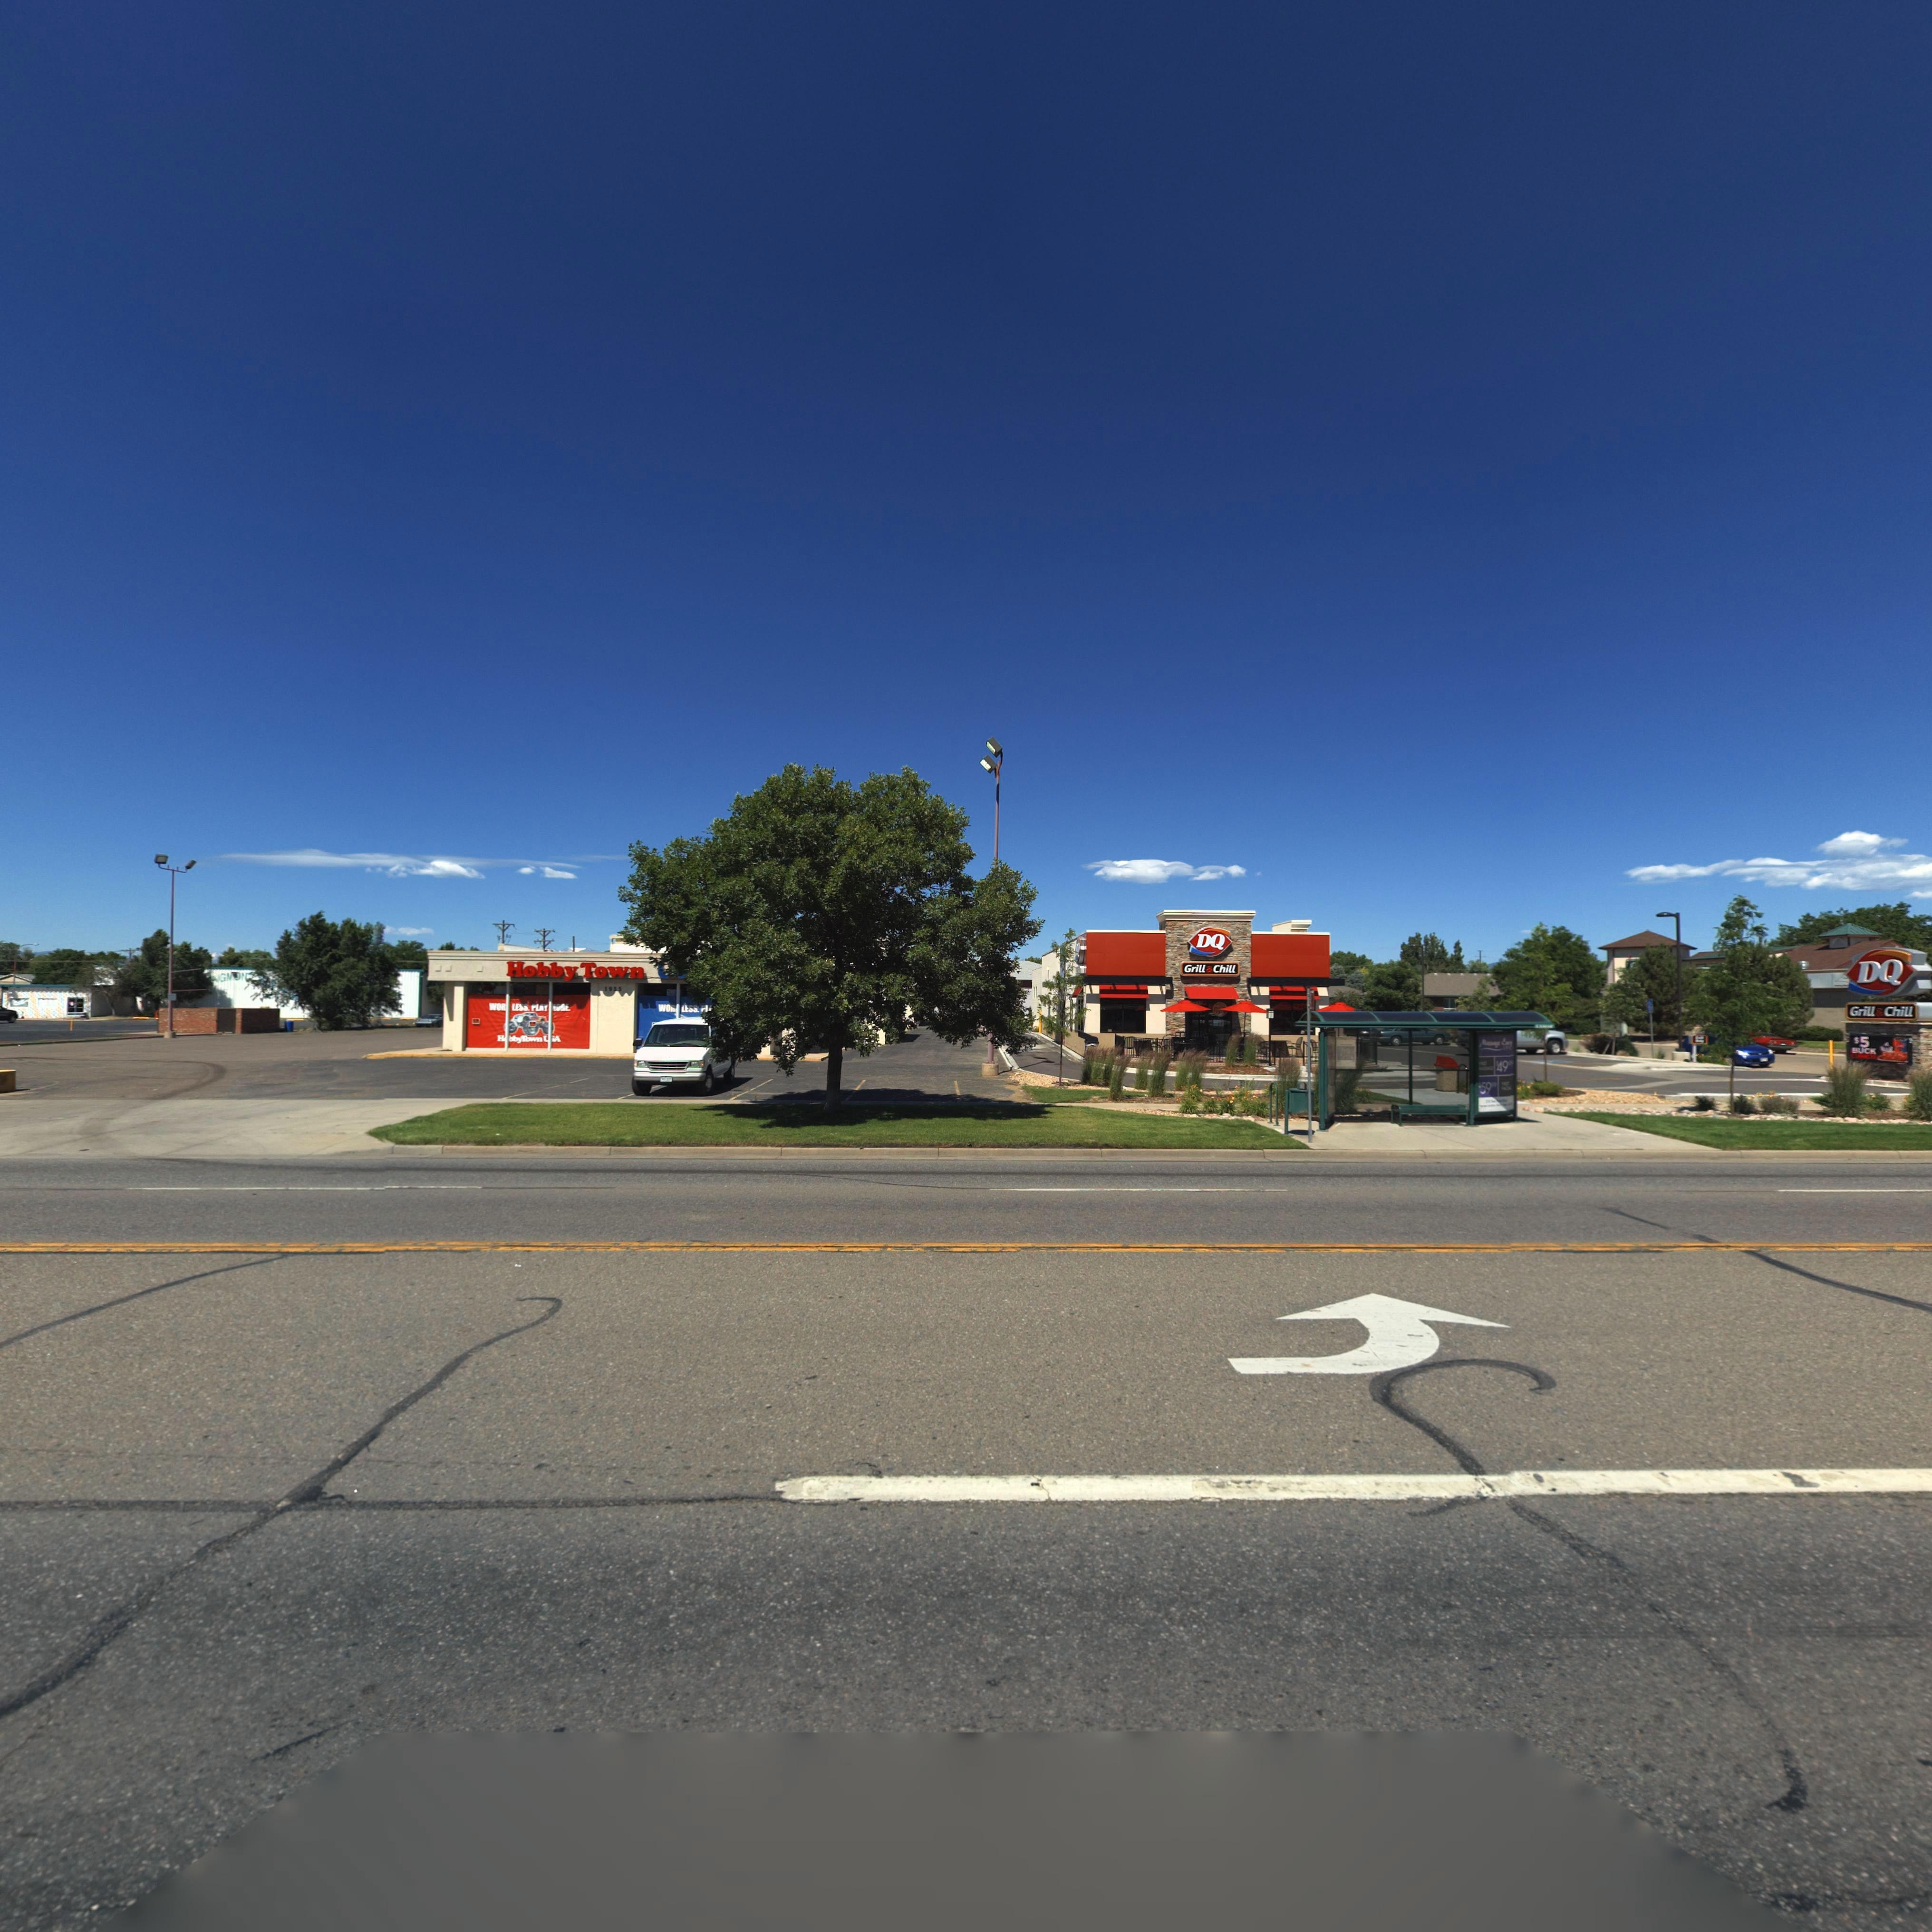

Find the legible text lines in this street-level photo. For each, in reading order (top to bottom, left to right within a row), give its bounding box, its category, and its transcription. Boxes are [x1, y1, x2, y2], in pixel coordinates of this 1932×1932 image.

[1195, 933, 1225, 950] BusinessName: DQ
[505, 961, 645, 982] BusinessName: HobbyTown
[1856, 958, 1903, 986] BusinessName: DQ
[604, 985, 622, 991] StreetNumber: 1935